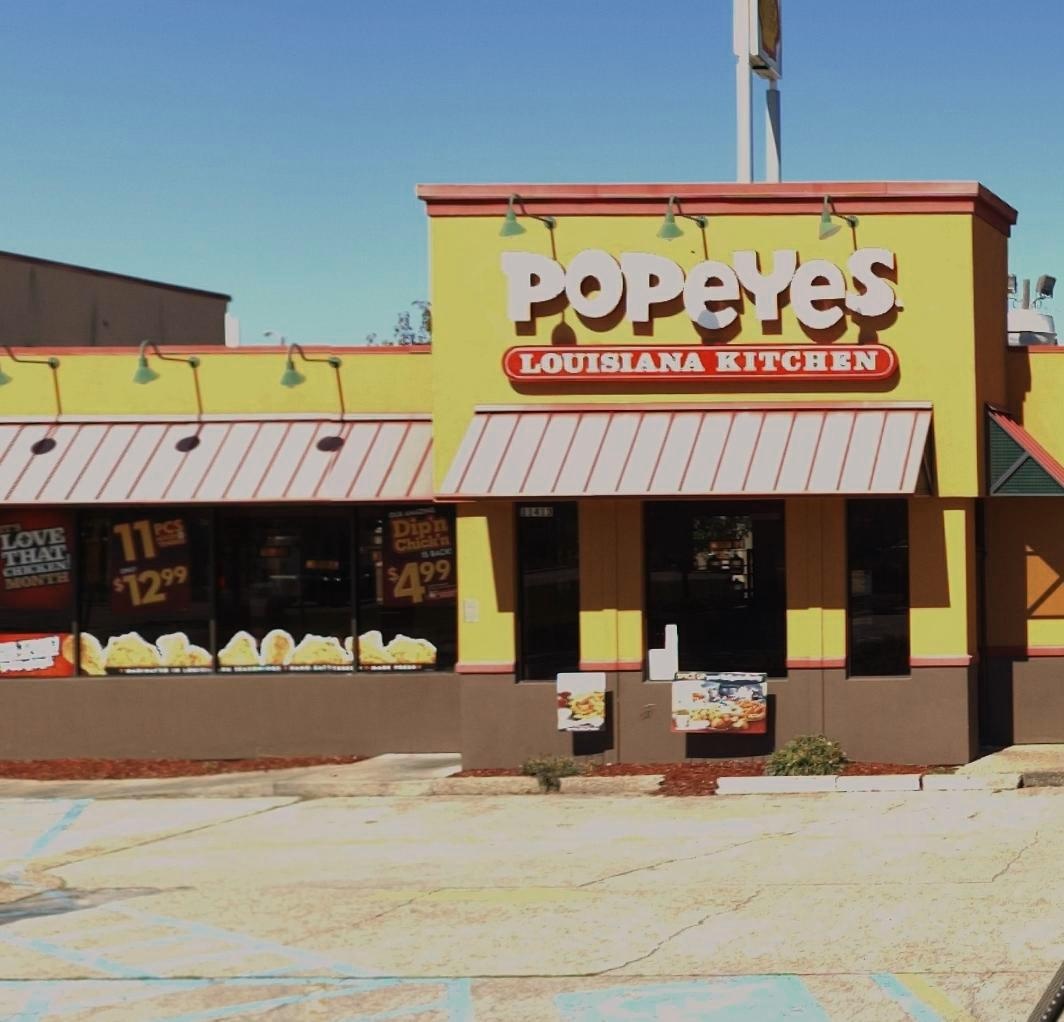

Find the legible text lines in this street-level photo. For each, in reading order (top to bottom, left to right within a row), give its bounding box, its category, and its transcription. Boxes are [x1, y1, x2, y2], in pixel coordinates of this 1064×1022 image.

[499, 245, 898, 334] BusinessName: POPEYES
[518, 349, 880, 375] None: LOUISIANA KITCHEN
[521, 507, 553, 517] StreetNumber: 11413
[0, 525, 68, 551] None: LOVE
[0, 543, 68, 566] None: THAT
[3, 555, 71, 579] None: CHICKEN
[5, 570, 70, 590] None: MONTH
[118, 565, 139, 575] None: ONLY
[111, 519, 158, 563] None: 11
[110, 564, 189, 608] None: $1299
[153, 517, 185, 537] None: PCS
[386, 557, 452, 605] None: $499
[392, 512, 449, 539] None: Dip'n
[394, 533, 451, 553] None: Chick'n